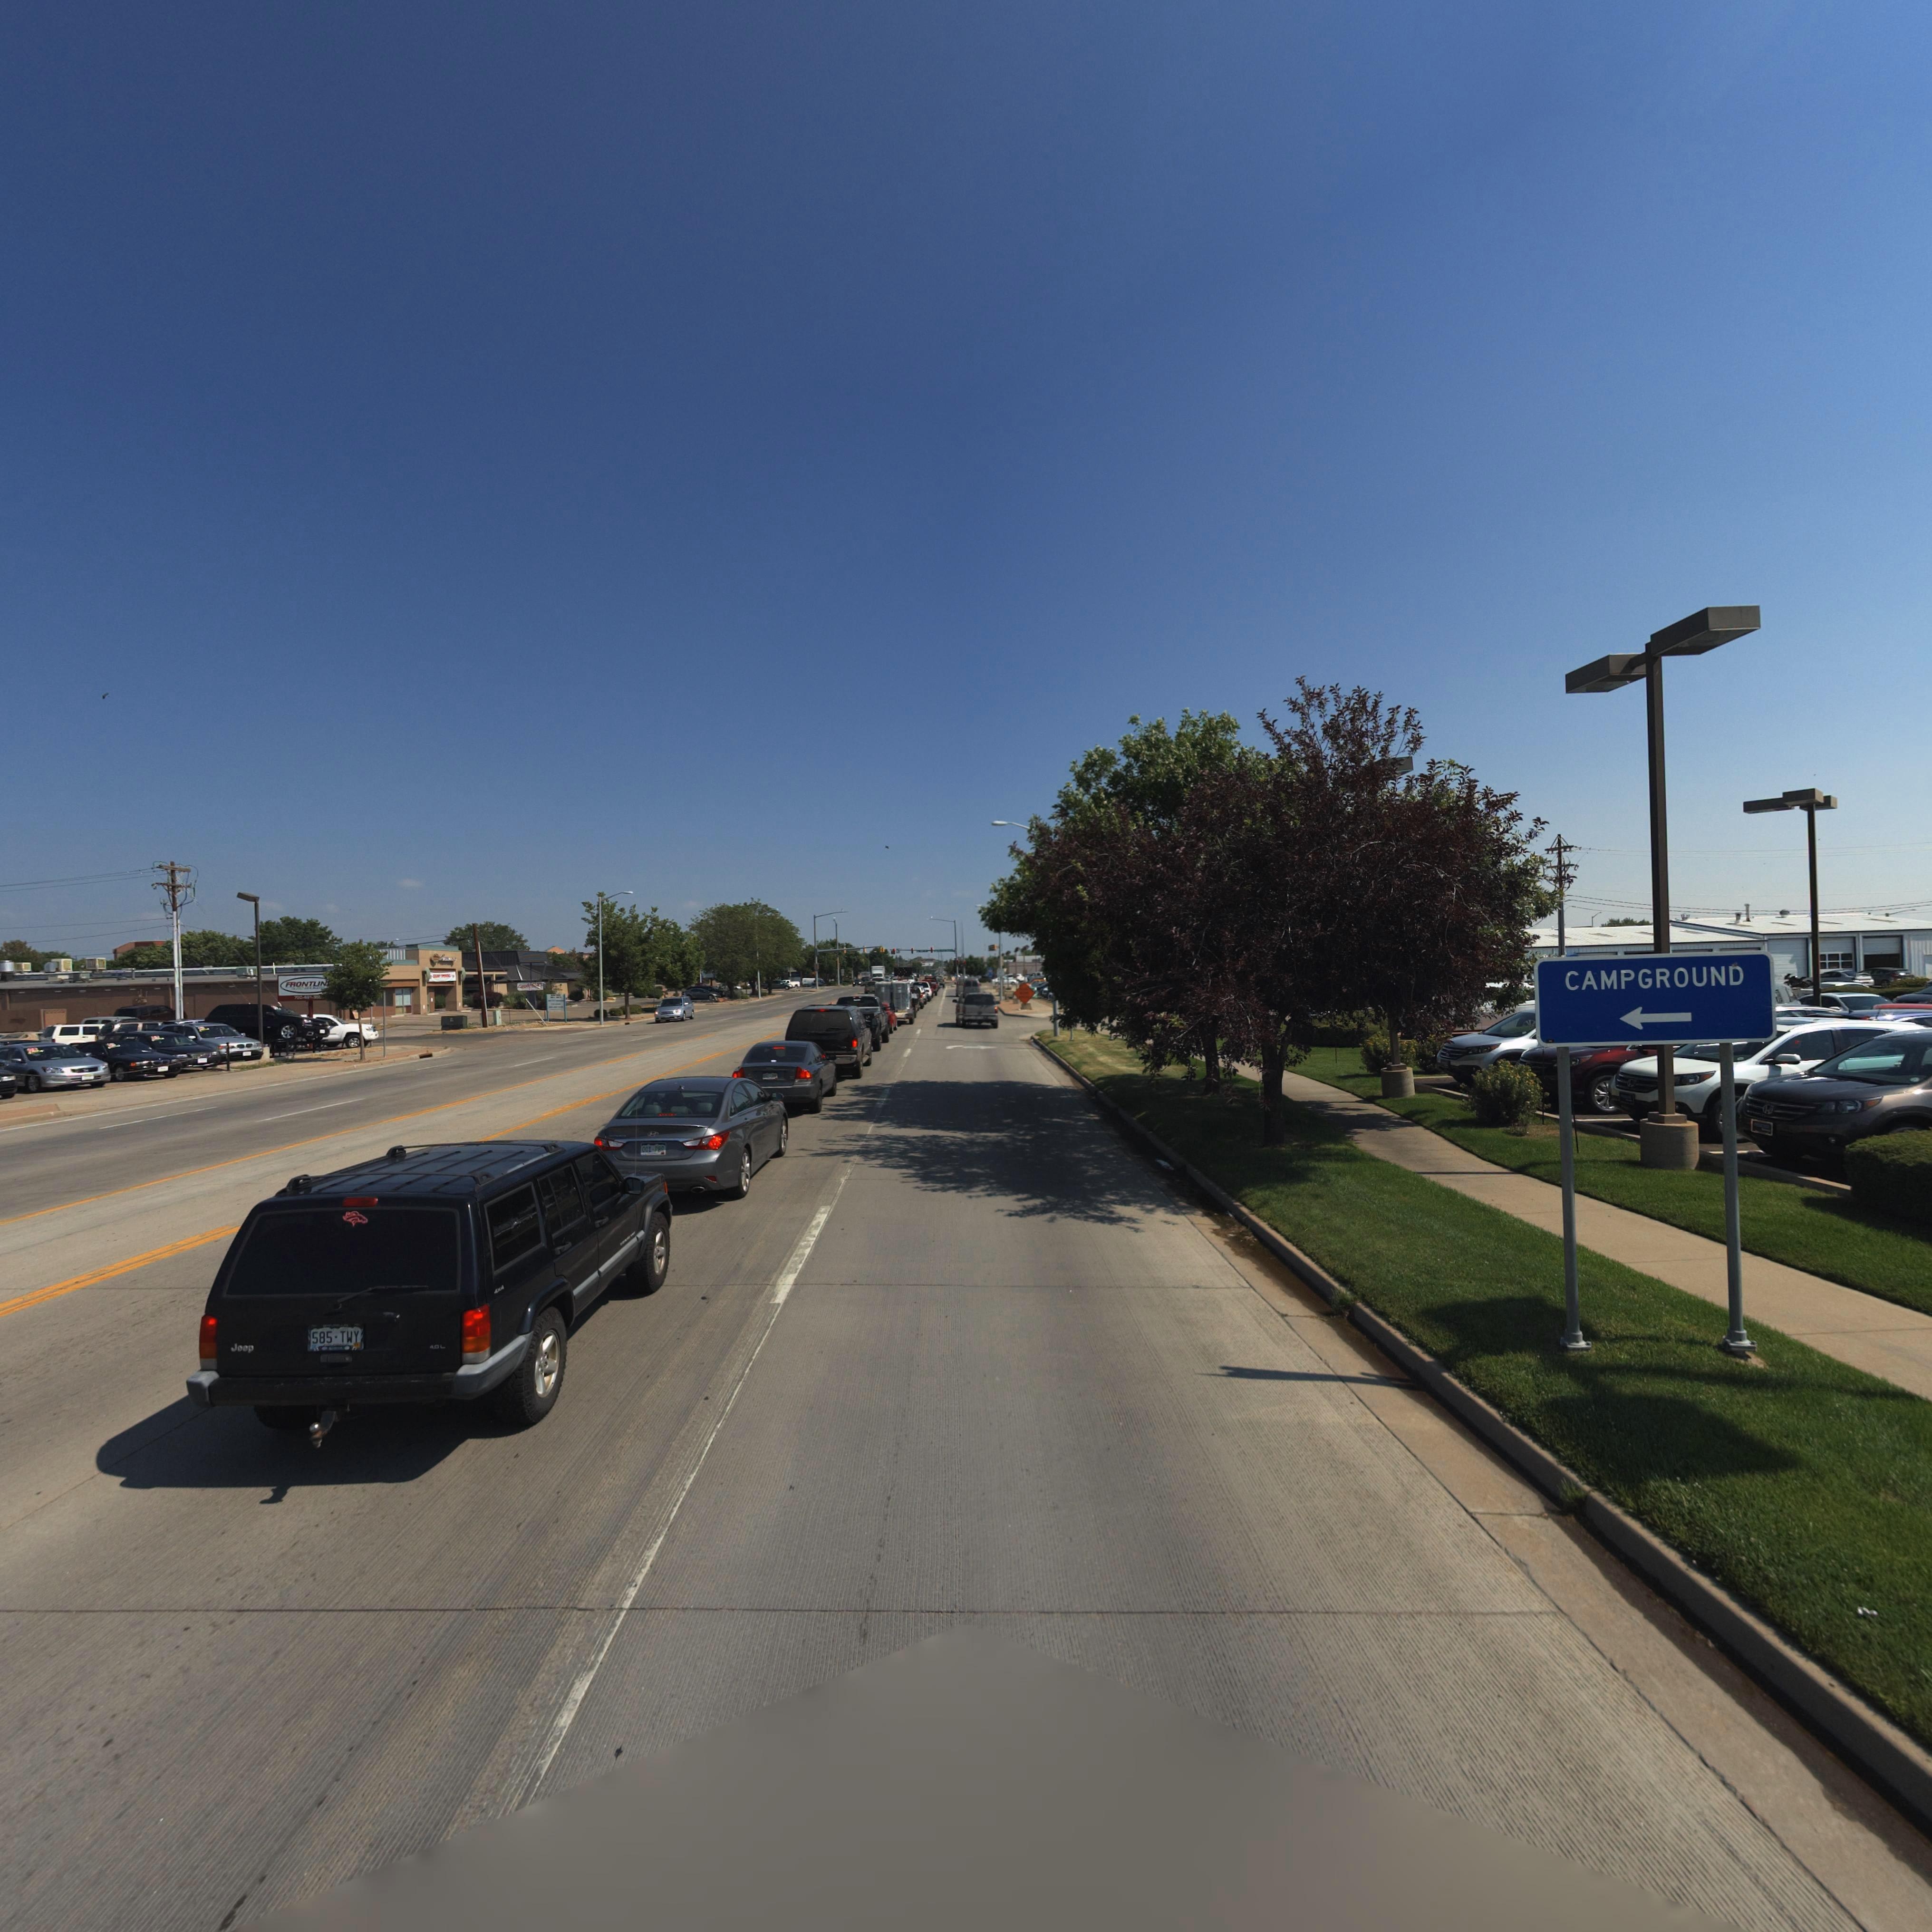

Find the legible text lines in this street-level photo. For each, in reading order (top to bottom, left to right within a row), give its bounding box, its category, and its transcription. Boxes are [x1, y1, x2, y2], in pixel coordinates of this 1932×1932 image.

[439, 953, 457, 962] BusinessName: Pharmacy
[285, 981, 327, 987] BusinessName: FRONTLIN
[517, 982, 543, 989] BusinessName: Good*******